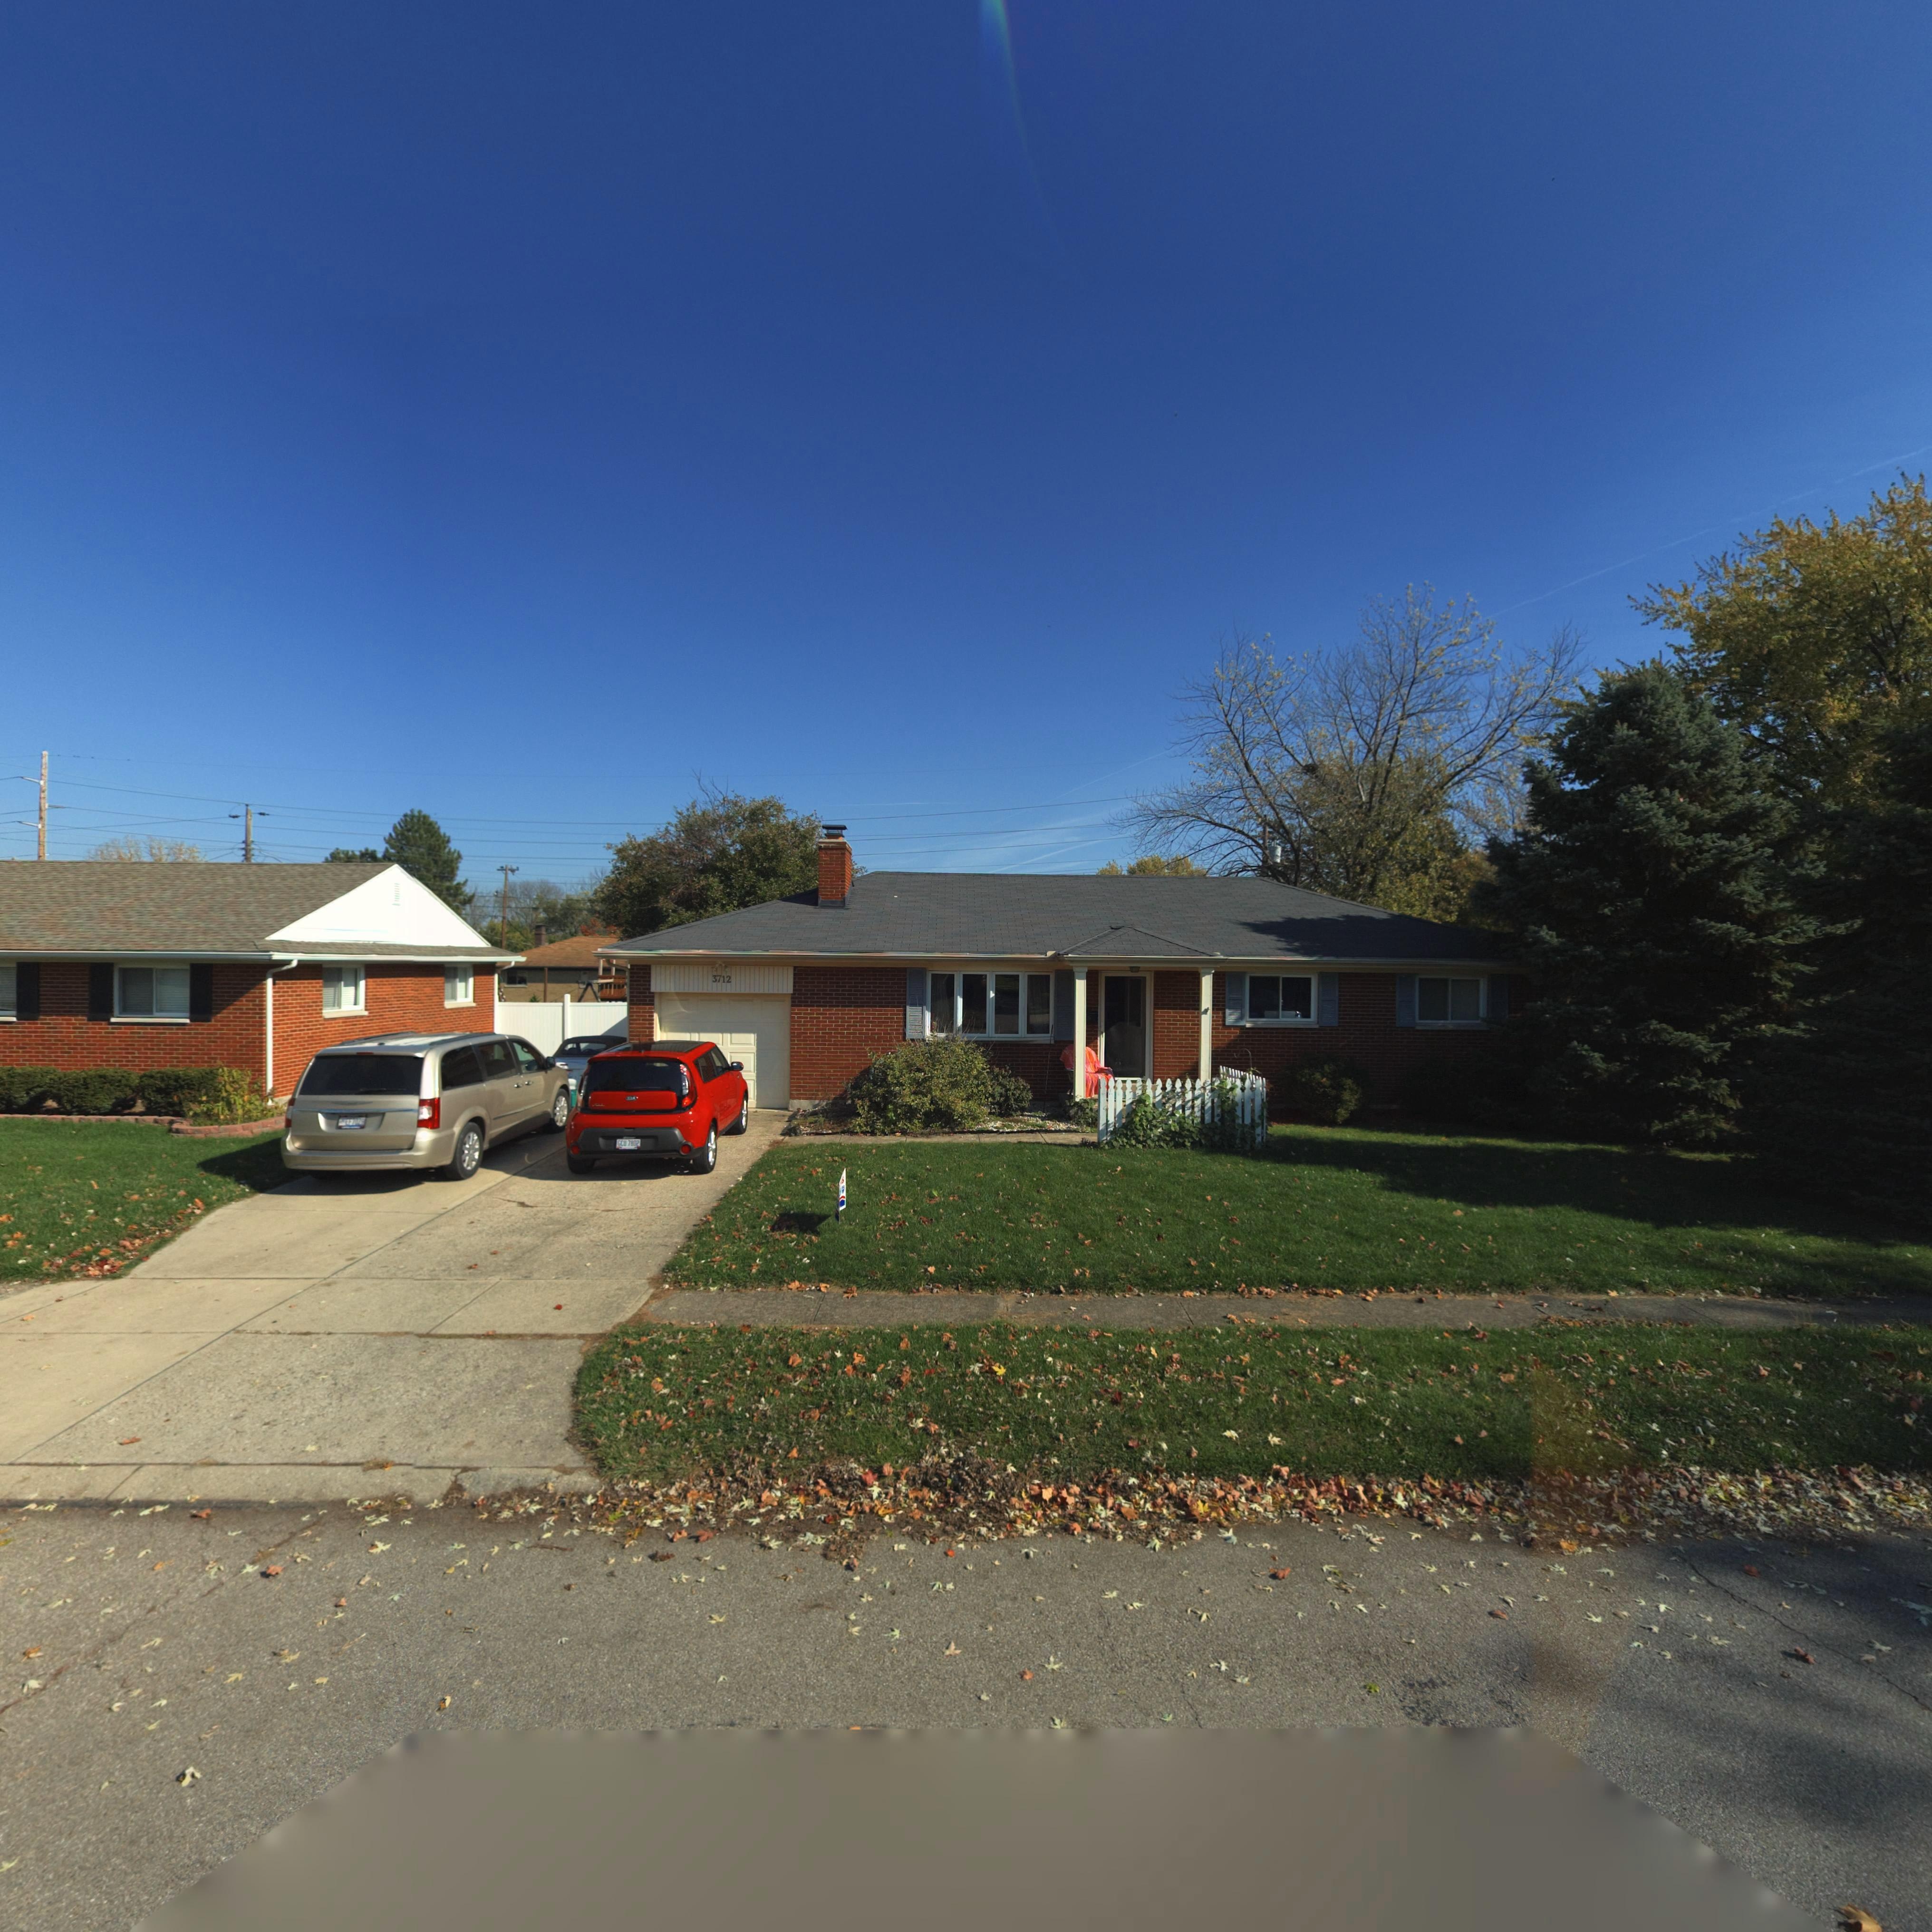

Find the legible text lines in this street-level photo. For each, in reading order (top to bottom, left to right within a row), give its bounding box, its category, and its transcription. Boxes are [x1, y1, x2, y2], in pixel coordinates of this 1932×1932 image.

[711, 974, 732, 984] StreetNumber: 3712